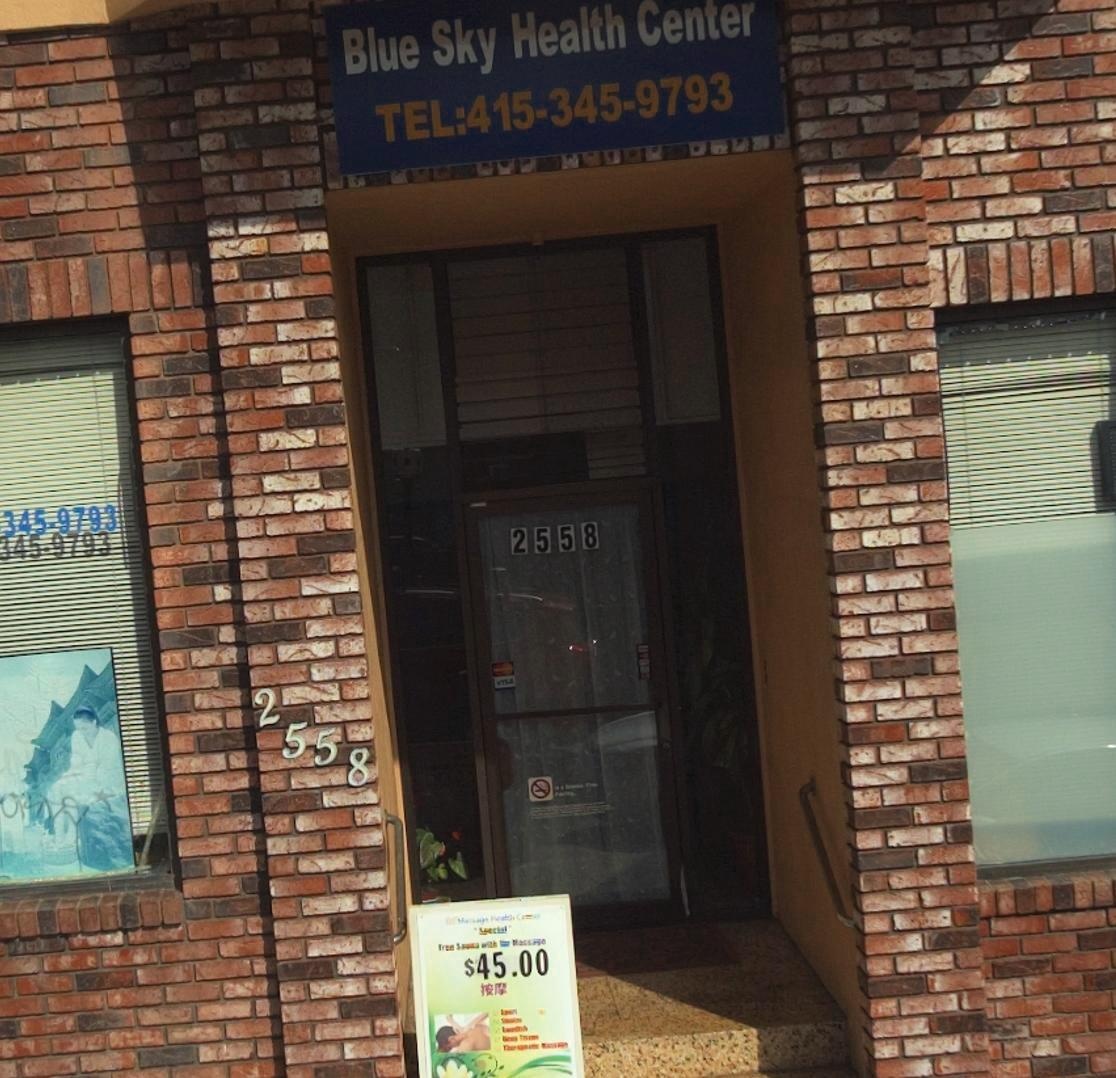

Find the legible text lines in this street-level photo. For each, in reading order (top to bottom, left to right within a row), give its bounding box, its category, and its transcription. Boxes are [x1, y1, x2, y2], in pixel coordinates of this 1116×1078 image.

[337, 0, 761, 83] BusinessName: Blue Sky Health Center
[368, 65, 741, 148] None: TEL:415-345-9793
[0, 527, 116, 563] None: 345-9793
[1, 500, 119, 540] None: 345-9793
[509, 520, 600, 556] StreetNumber: 2558
[493, 676, 518, 689] None: VISA
[250, 681, 374, 792] StreetNumber: 2558
[475, 946, 552, 983] None: 45.00